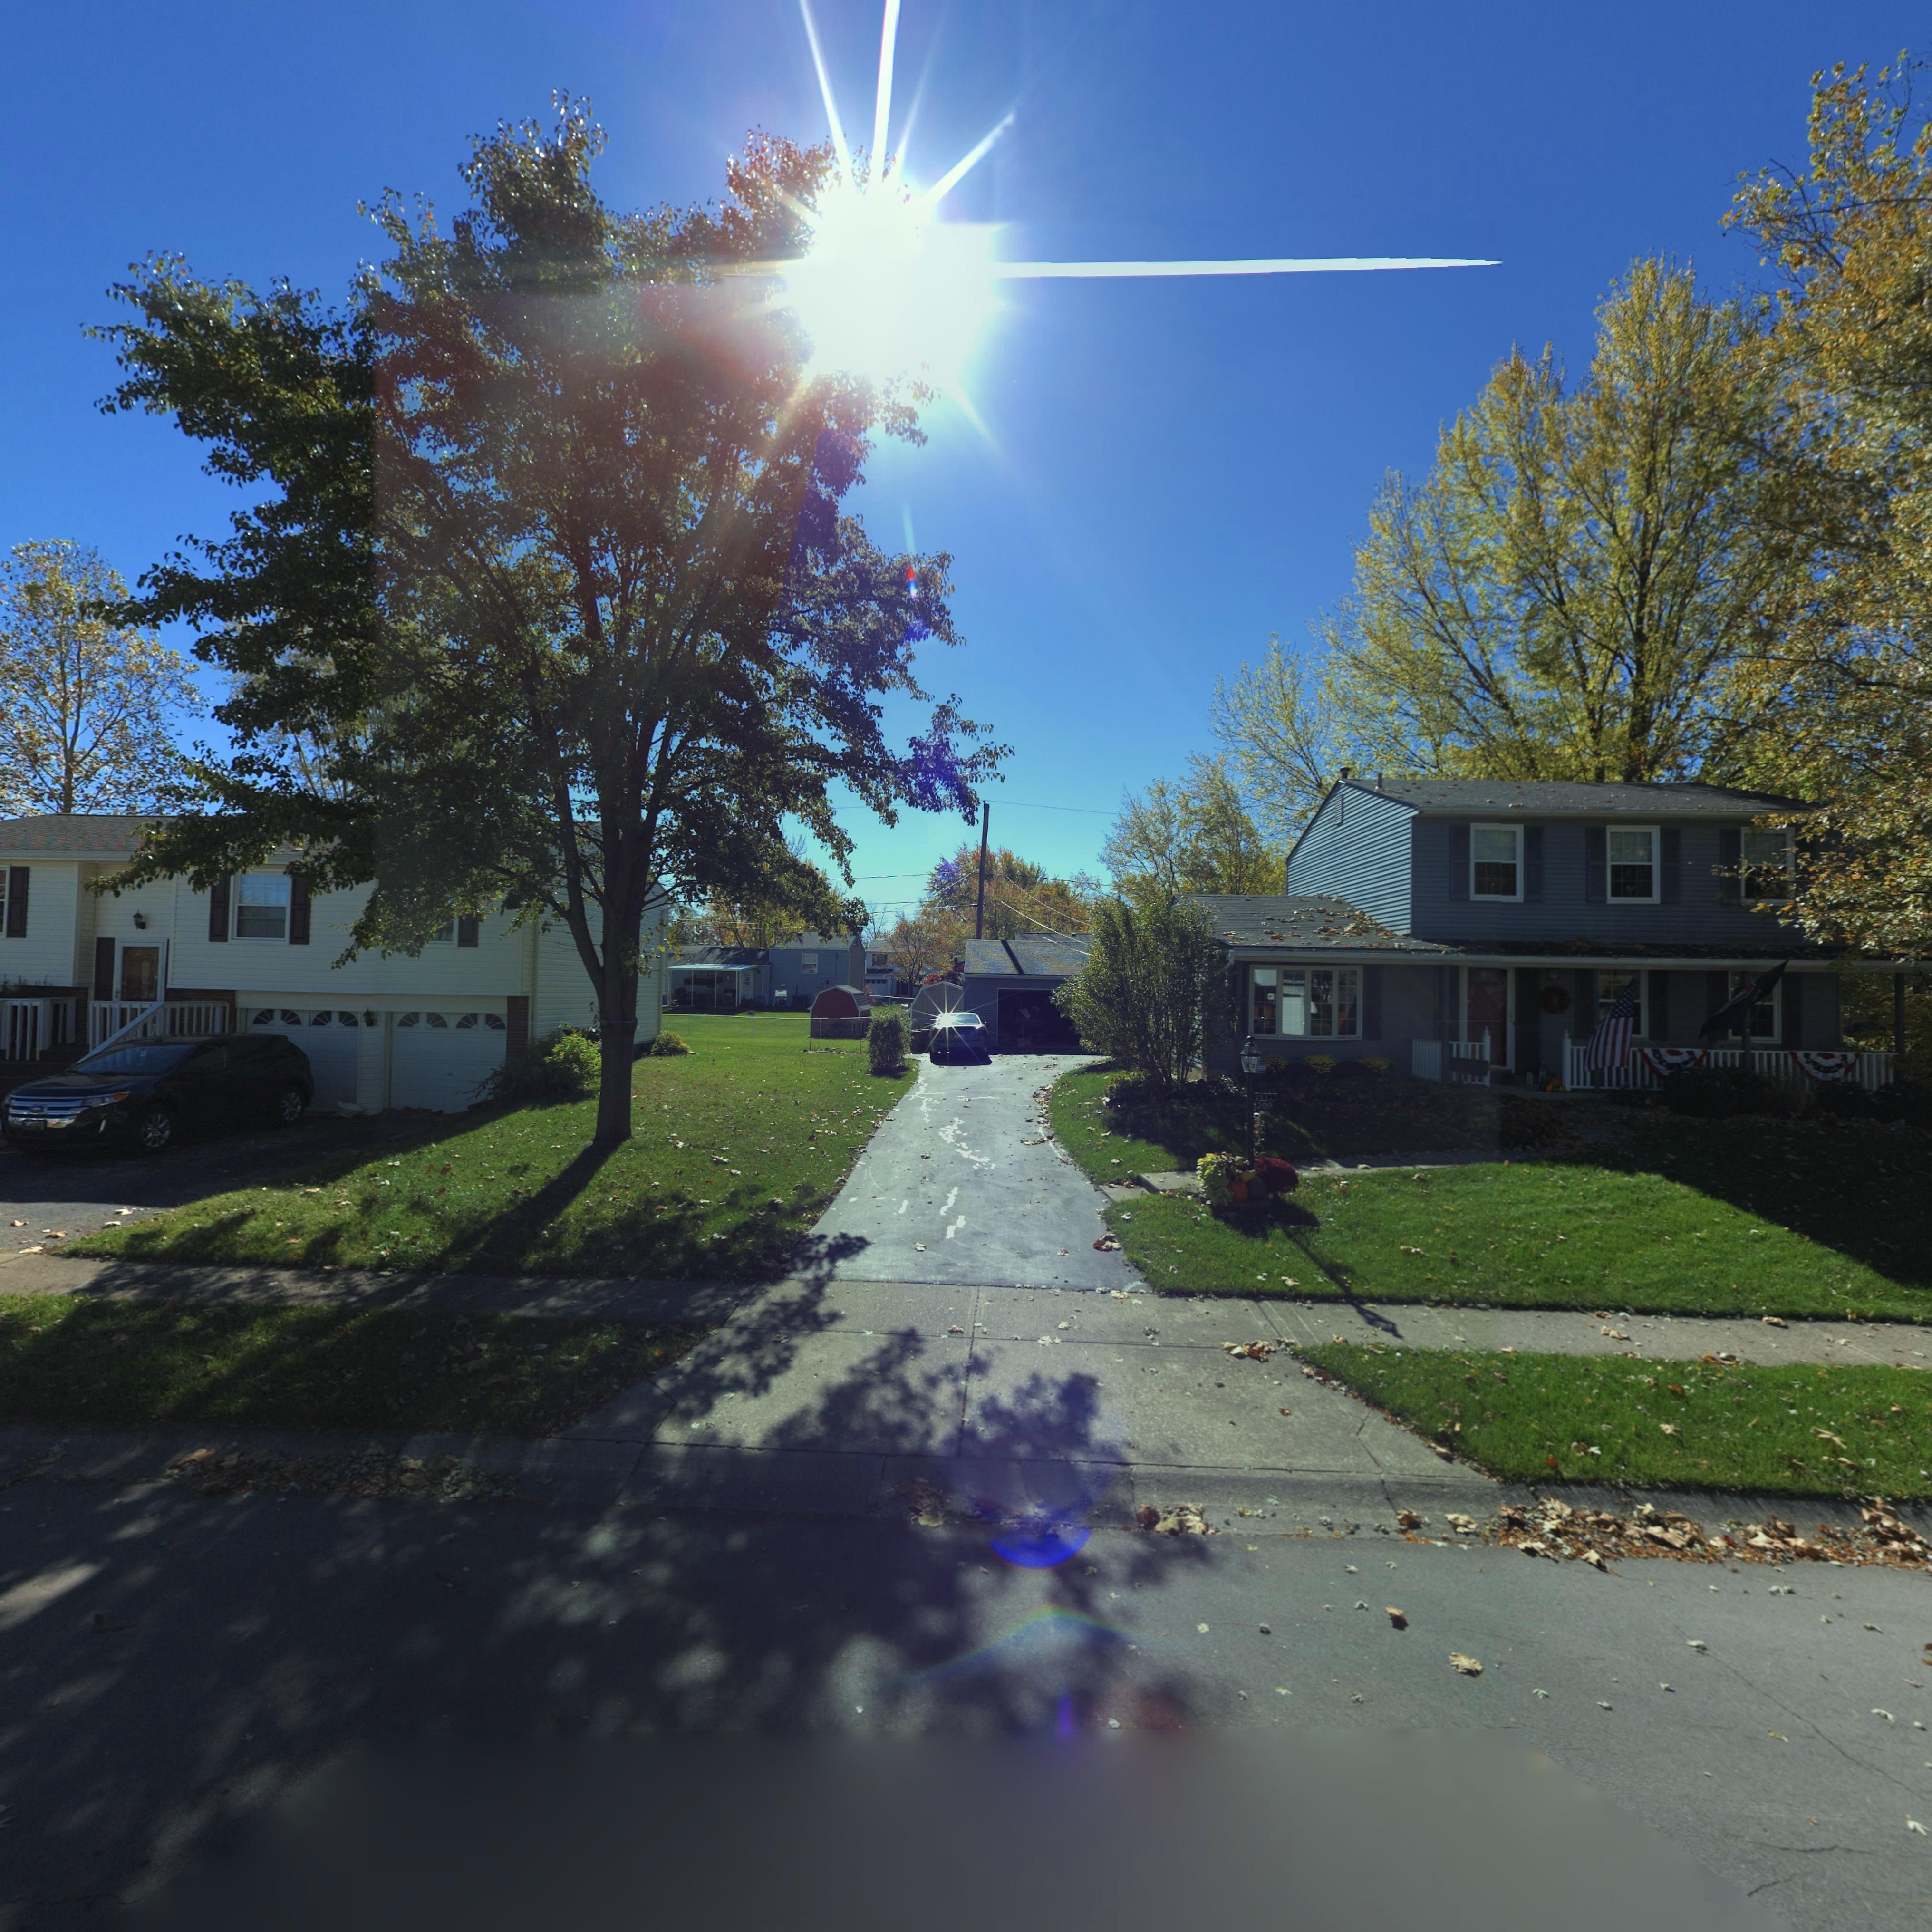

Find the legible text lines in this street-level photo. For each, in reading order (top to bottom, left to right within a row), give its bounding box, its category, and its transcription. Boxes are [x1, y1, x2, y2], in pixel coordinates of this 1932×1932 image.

[1256, 1101, 1273, 1111] StreetNumber: 209